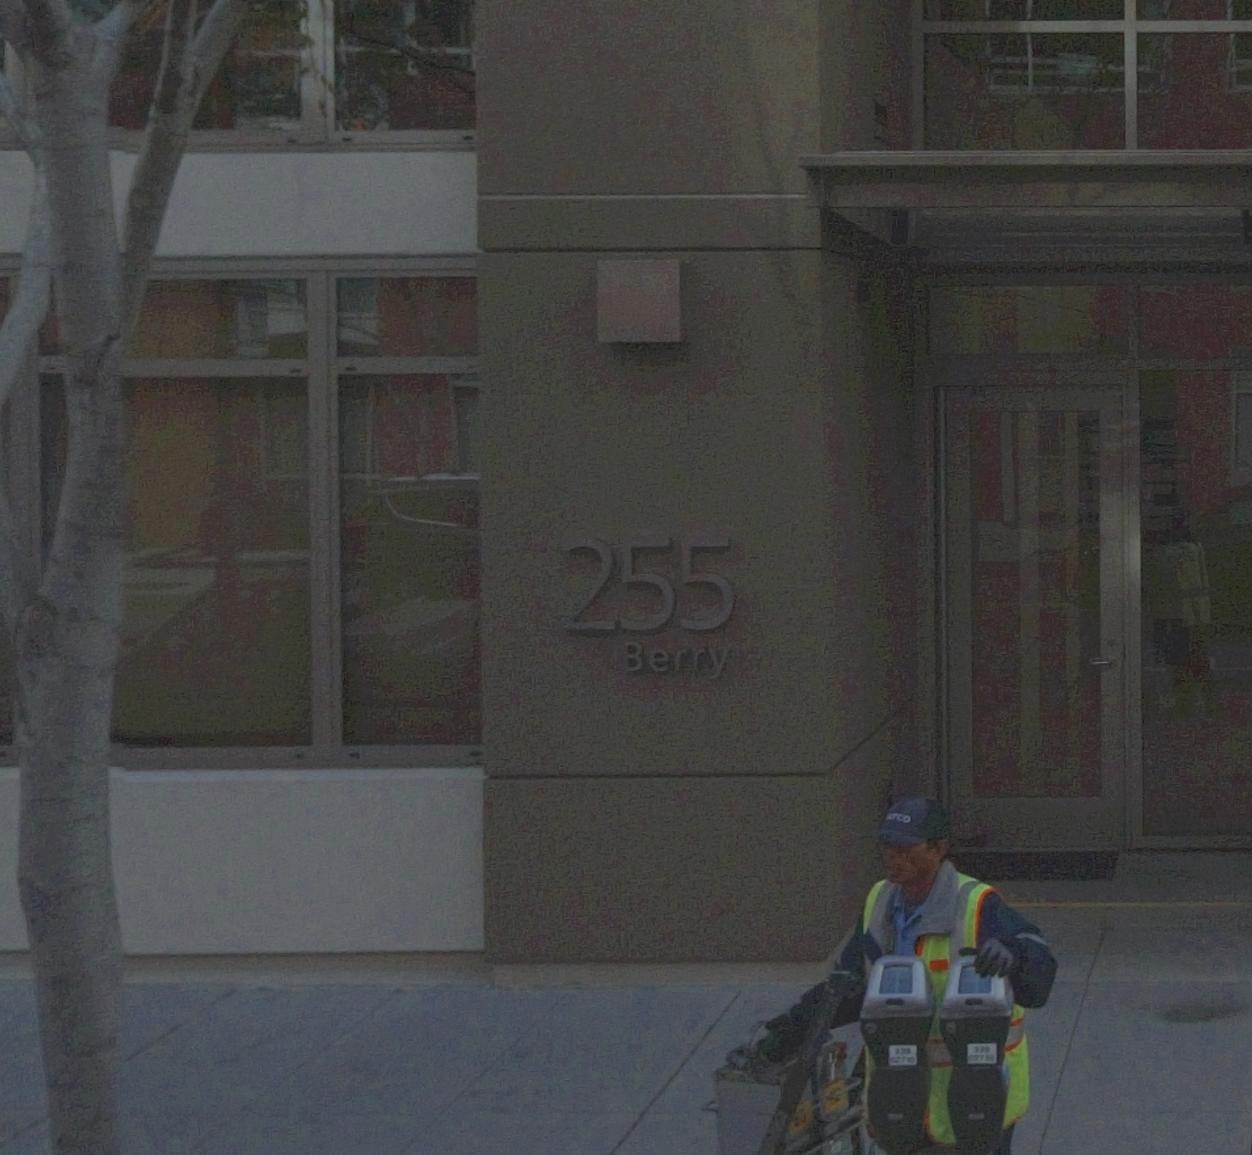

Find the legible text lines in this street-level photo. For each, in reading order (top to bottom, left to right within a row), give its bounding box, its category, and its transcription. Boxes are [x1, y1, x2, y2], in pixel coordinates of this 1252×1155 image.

[556, 532, 738, 635] StreetNumber: 255
[622, 639, 732, 683] StreetName: Berry
[894, 810, 914, 826] None: CO